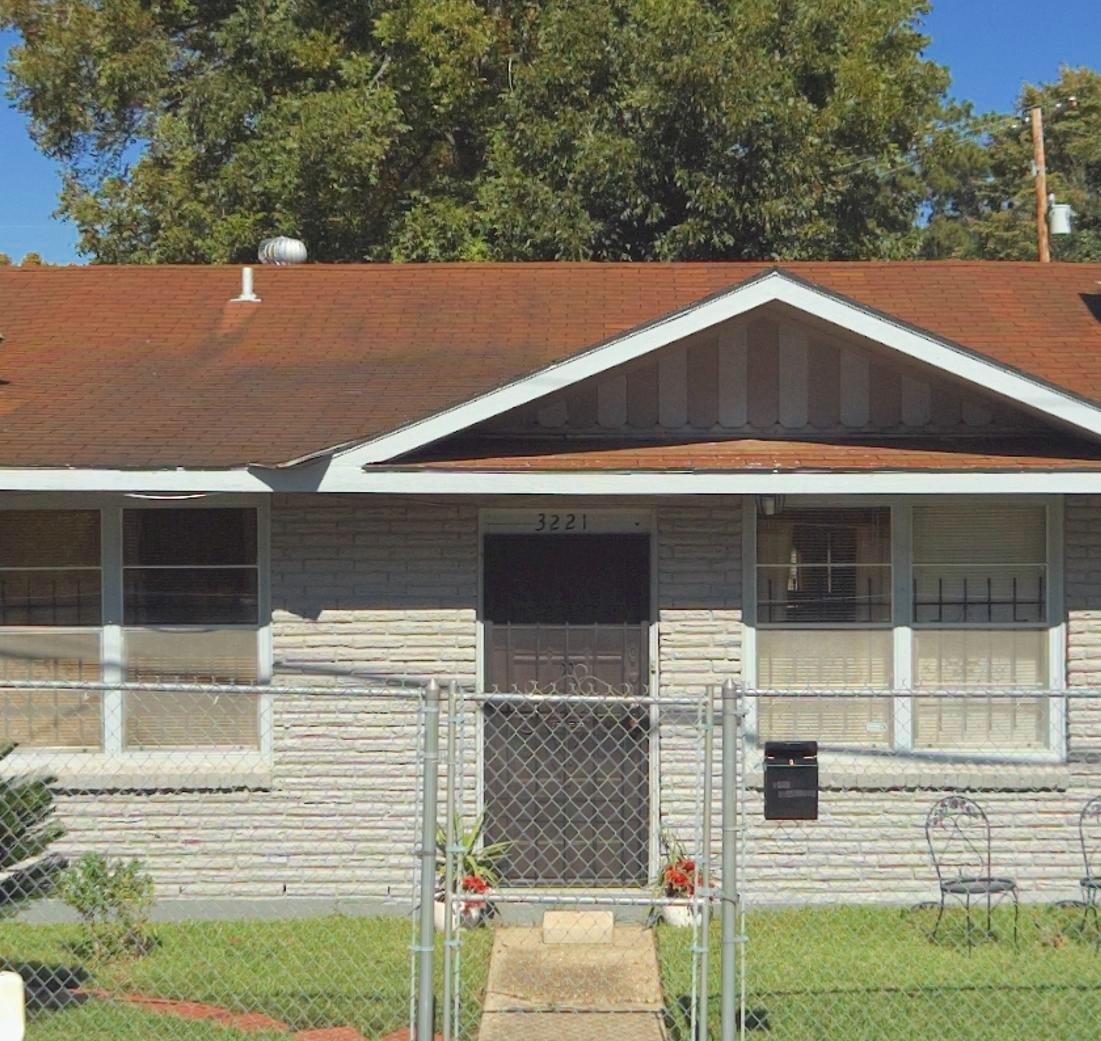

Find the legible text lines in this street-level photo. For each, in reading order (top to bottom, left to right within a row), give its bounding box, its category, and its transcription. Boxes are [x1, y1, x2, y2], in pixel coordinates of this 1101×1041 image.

[535, 512, 588, 532] StreetNumber: 3221